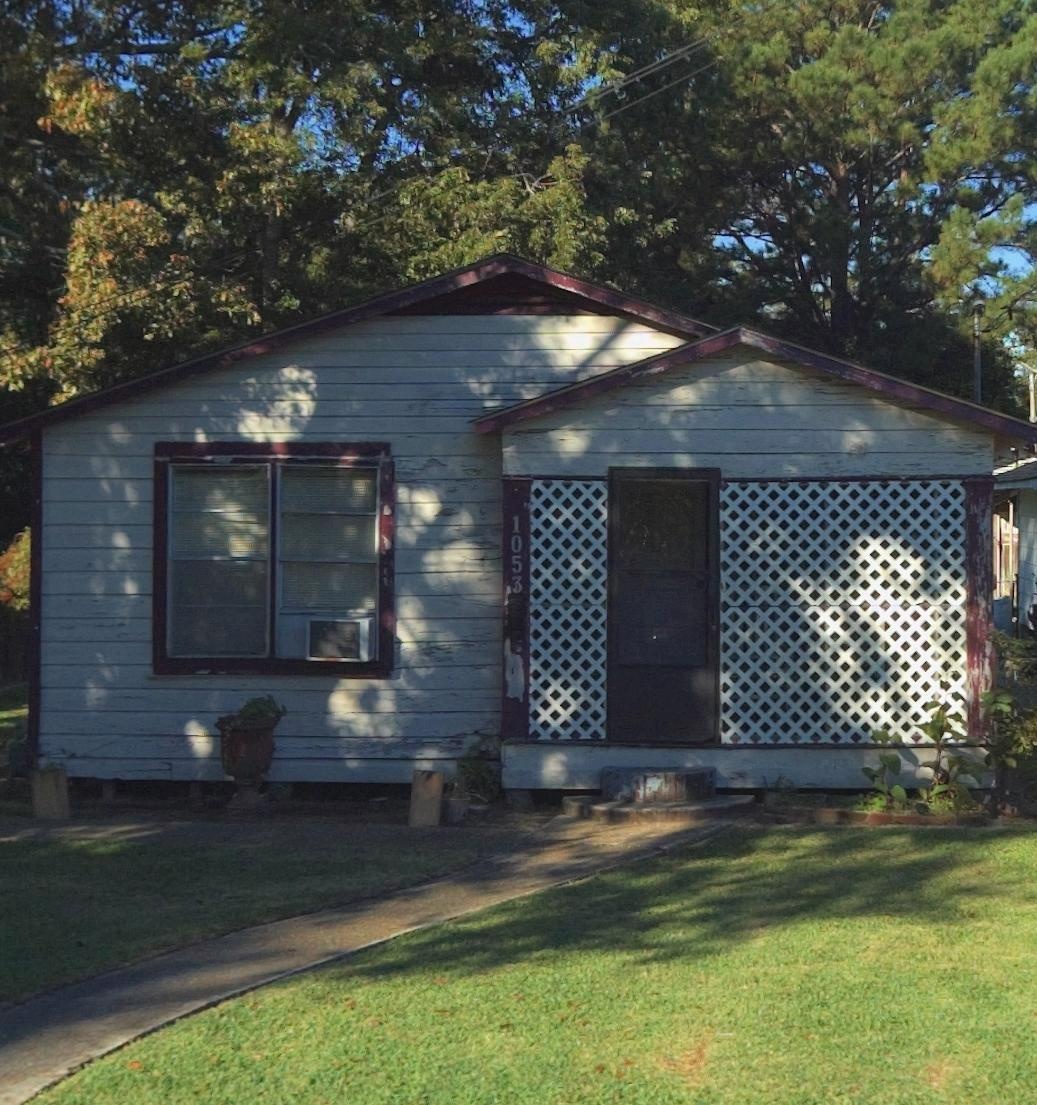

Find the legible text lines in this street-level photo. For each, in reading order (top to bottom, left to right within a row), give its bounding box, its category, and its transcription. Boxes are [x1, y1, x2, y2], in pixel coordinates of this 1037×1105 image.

[509, 513, 524, 596] StreetNumber: 1053